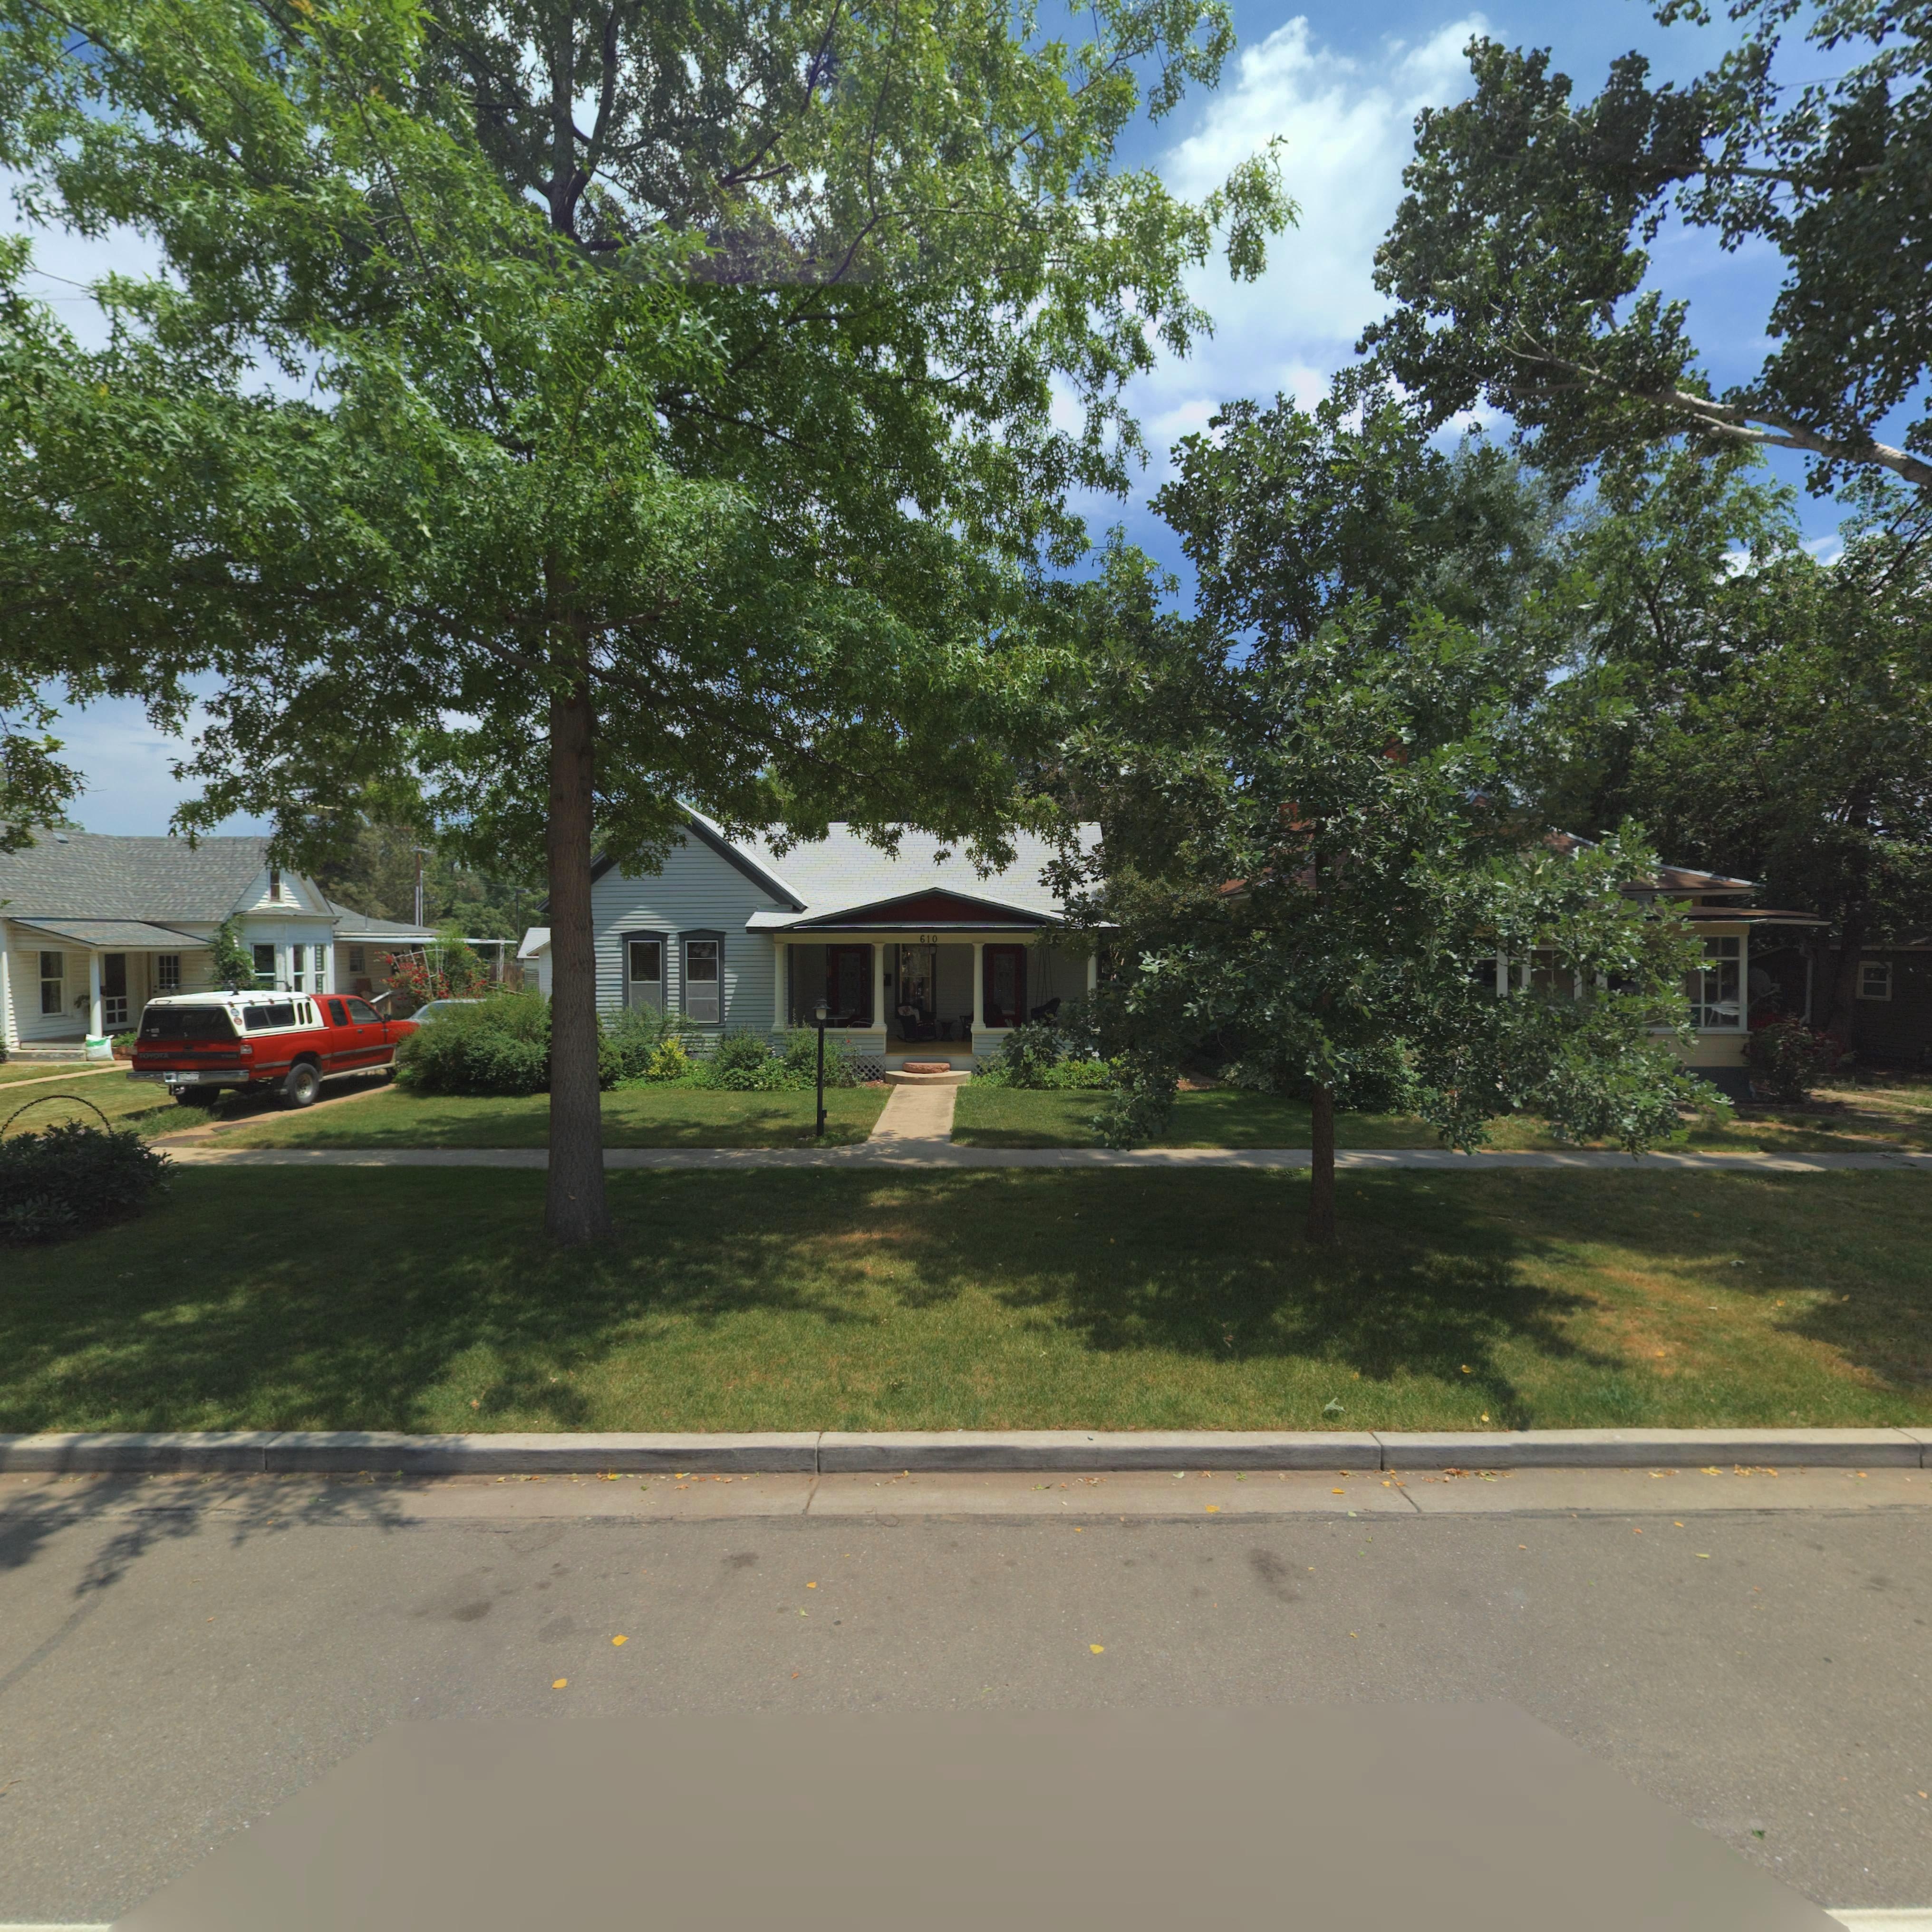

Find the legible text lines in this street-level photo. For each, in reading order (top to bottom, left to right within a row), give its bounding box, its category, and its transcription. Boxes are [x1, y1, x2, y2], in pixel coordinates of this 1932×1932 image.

[919, 934, 937, 943] StreetNumber: 610